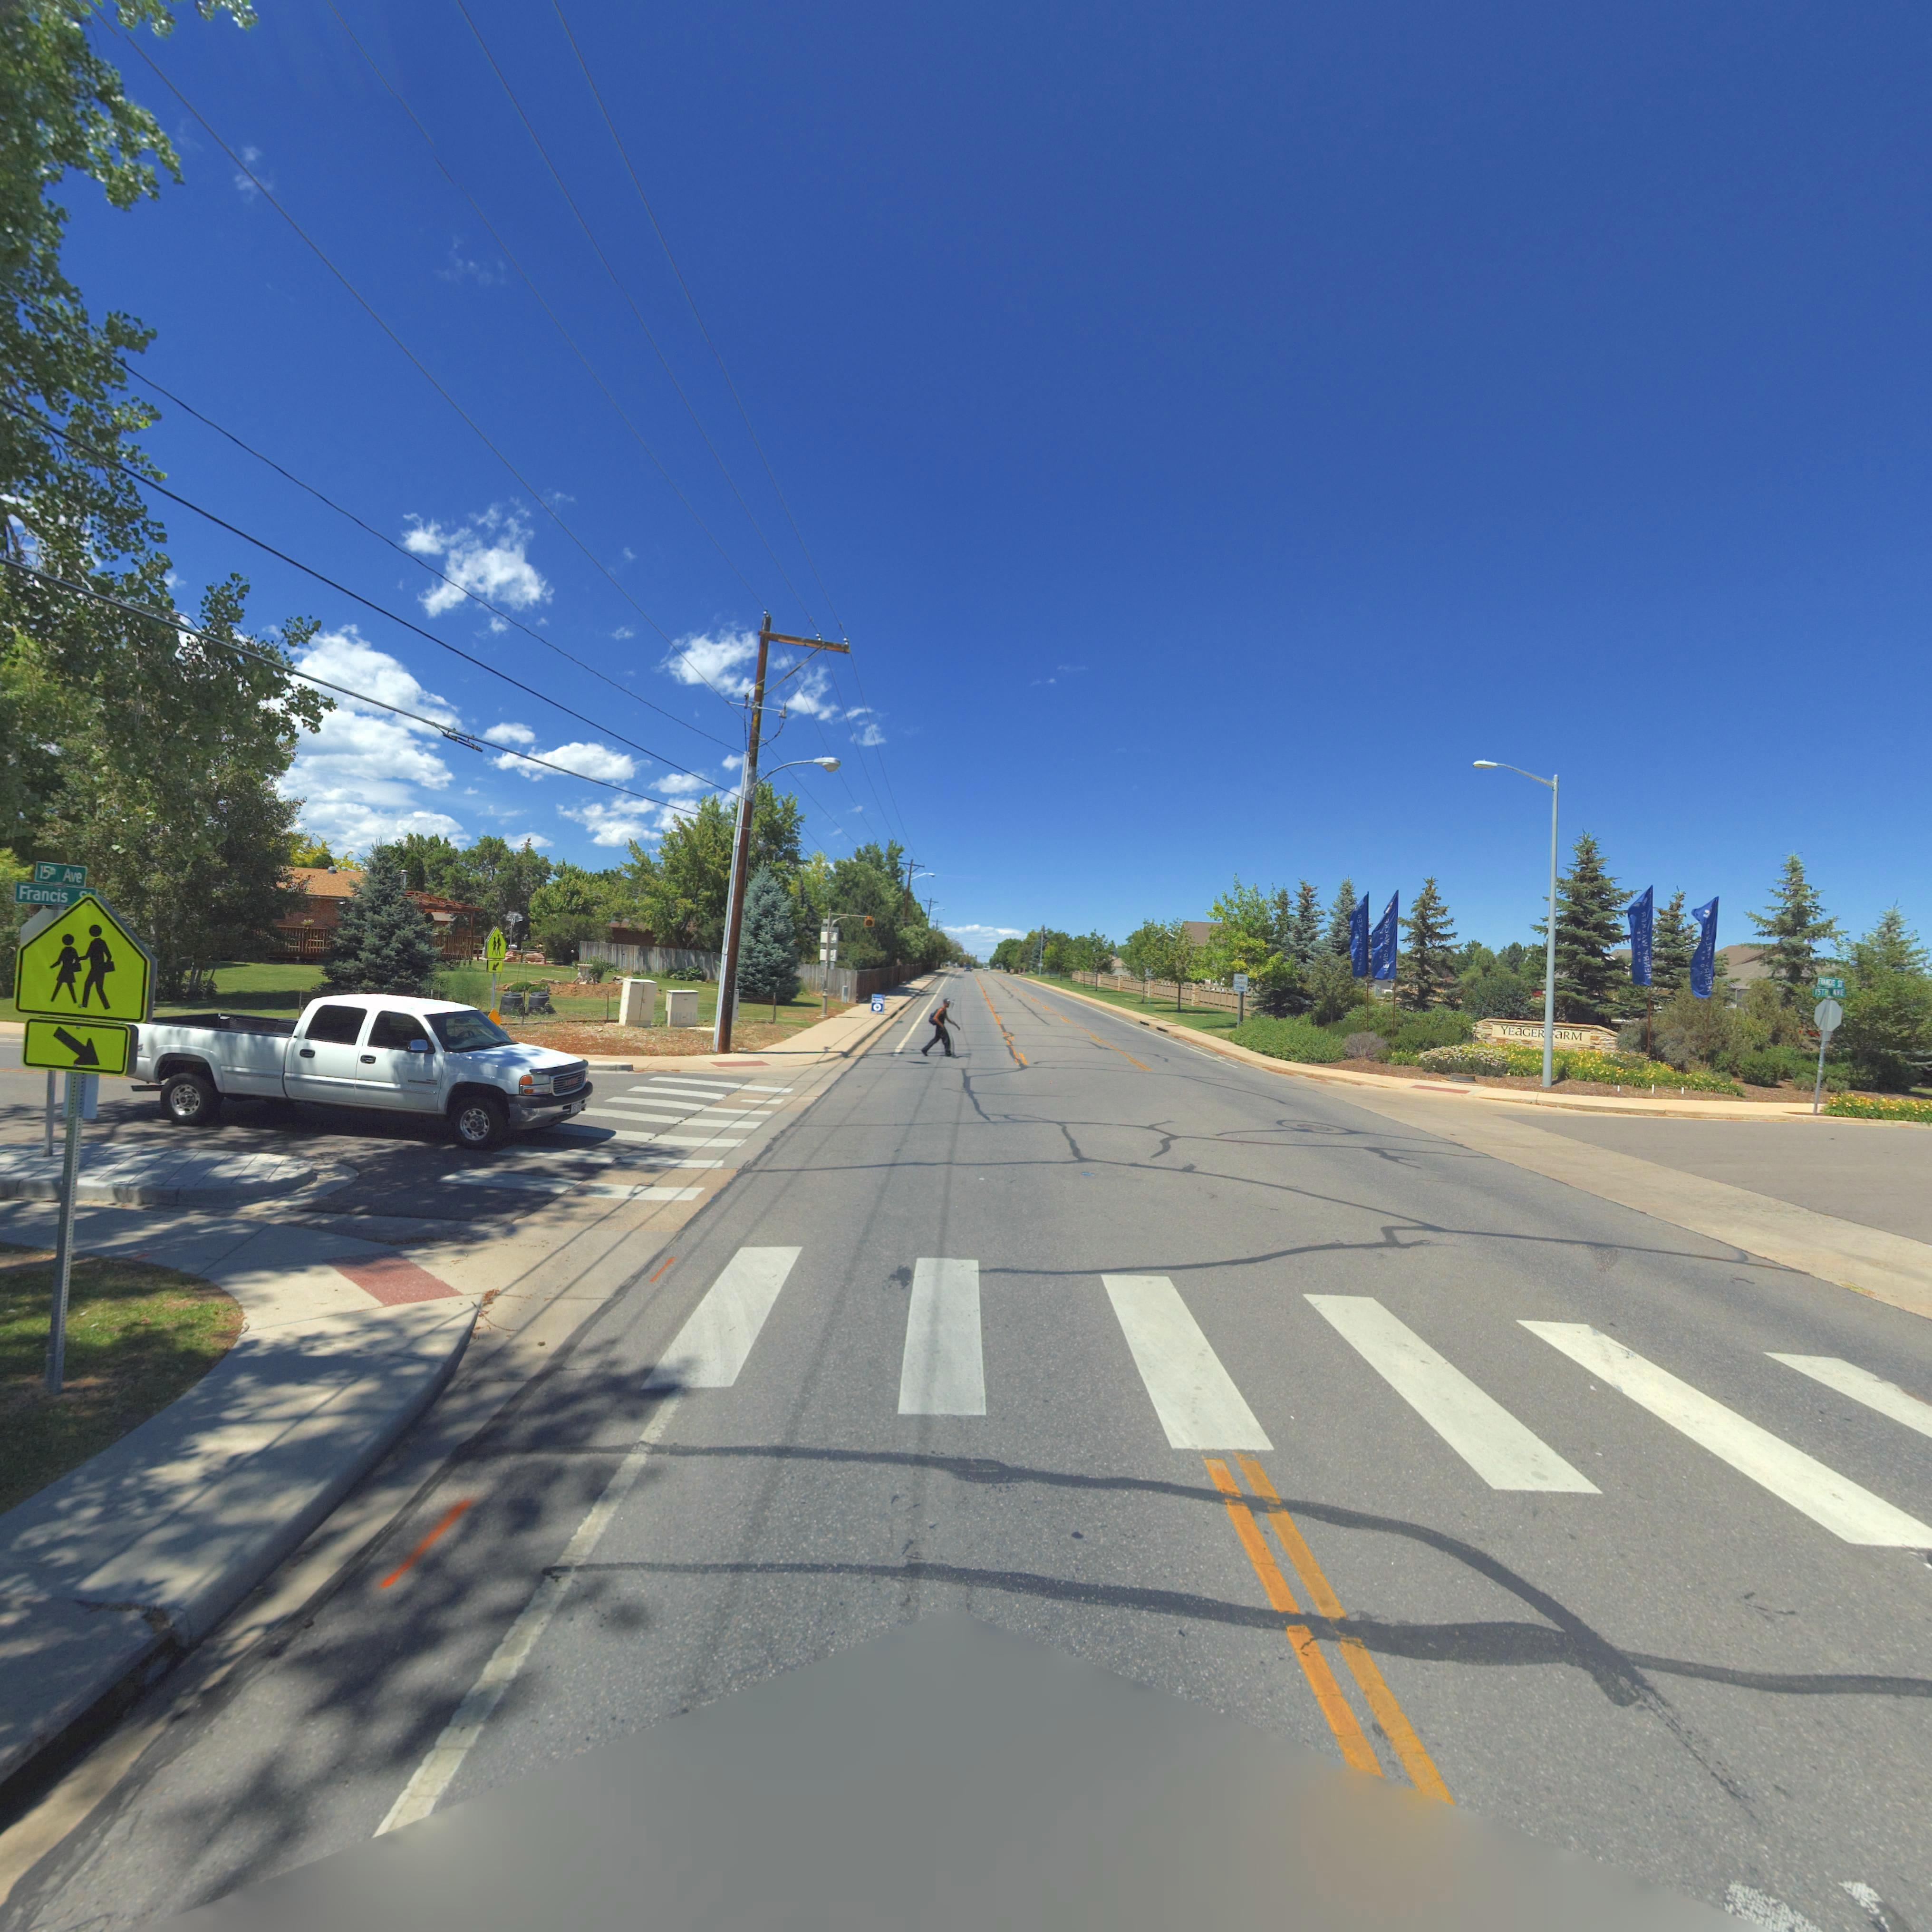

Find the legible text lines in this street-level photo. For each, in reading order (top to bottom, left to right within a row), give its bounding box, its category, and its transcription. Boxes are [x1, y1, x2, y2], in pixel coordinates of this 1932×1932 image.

[39, 865, 83, 883] StreetName: 15th Ave
[18, 884, 68, 903] StreetName: Francis
[1817, 977, 1843, 987] StreetName: ***** ST
[1814, 988, 1845, 996] StreetName: 15TH AVE